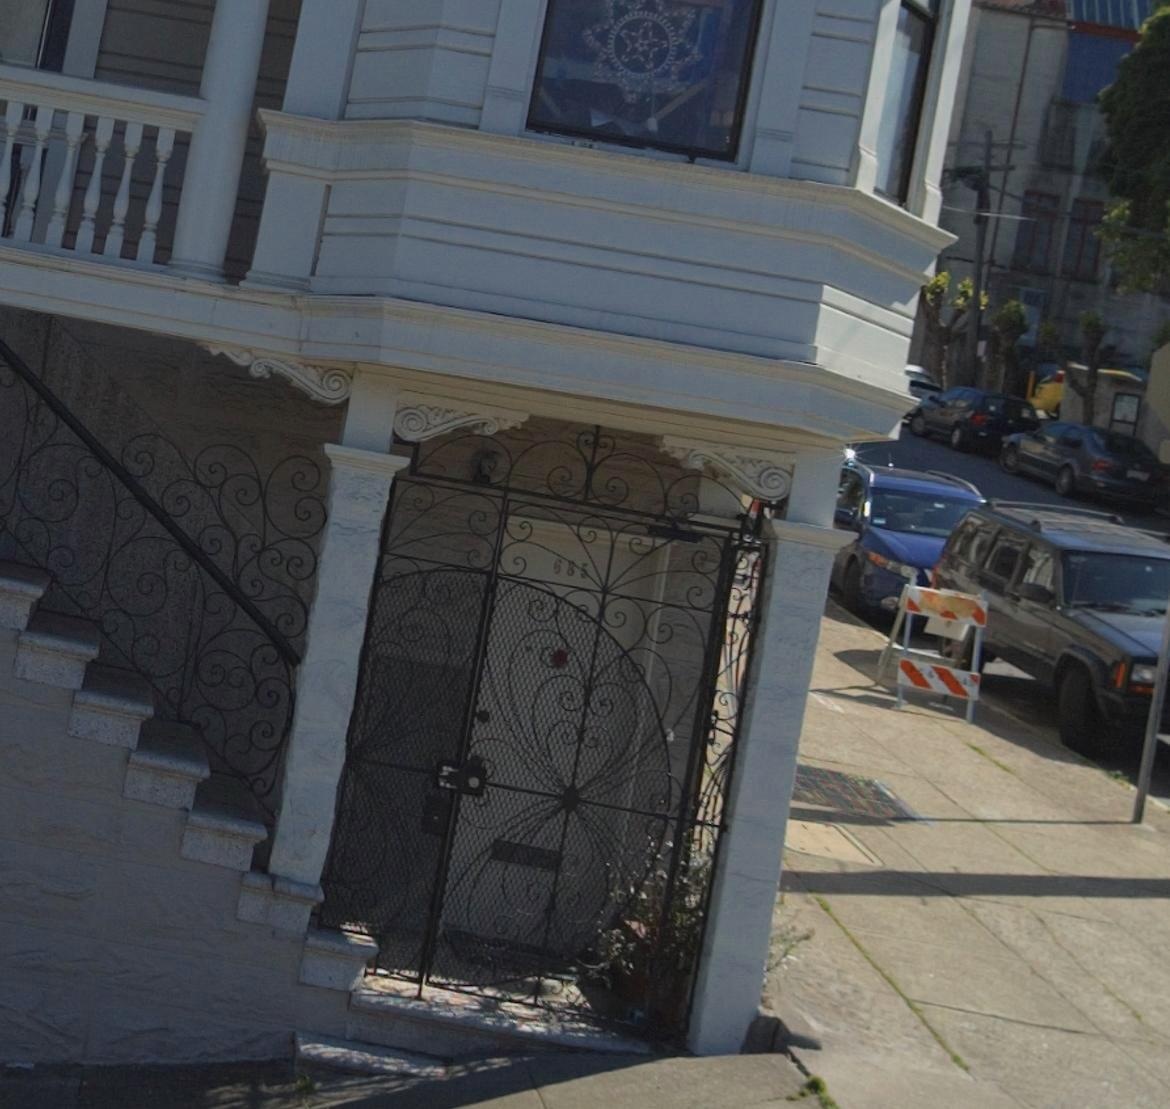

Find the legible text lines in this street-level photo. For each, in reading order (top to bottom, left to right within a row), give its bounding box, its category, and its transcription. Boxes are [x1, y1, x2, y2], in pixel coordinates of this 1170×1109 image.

[551, 557, 589, 580] StreetNumber: 685